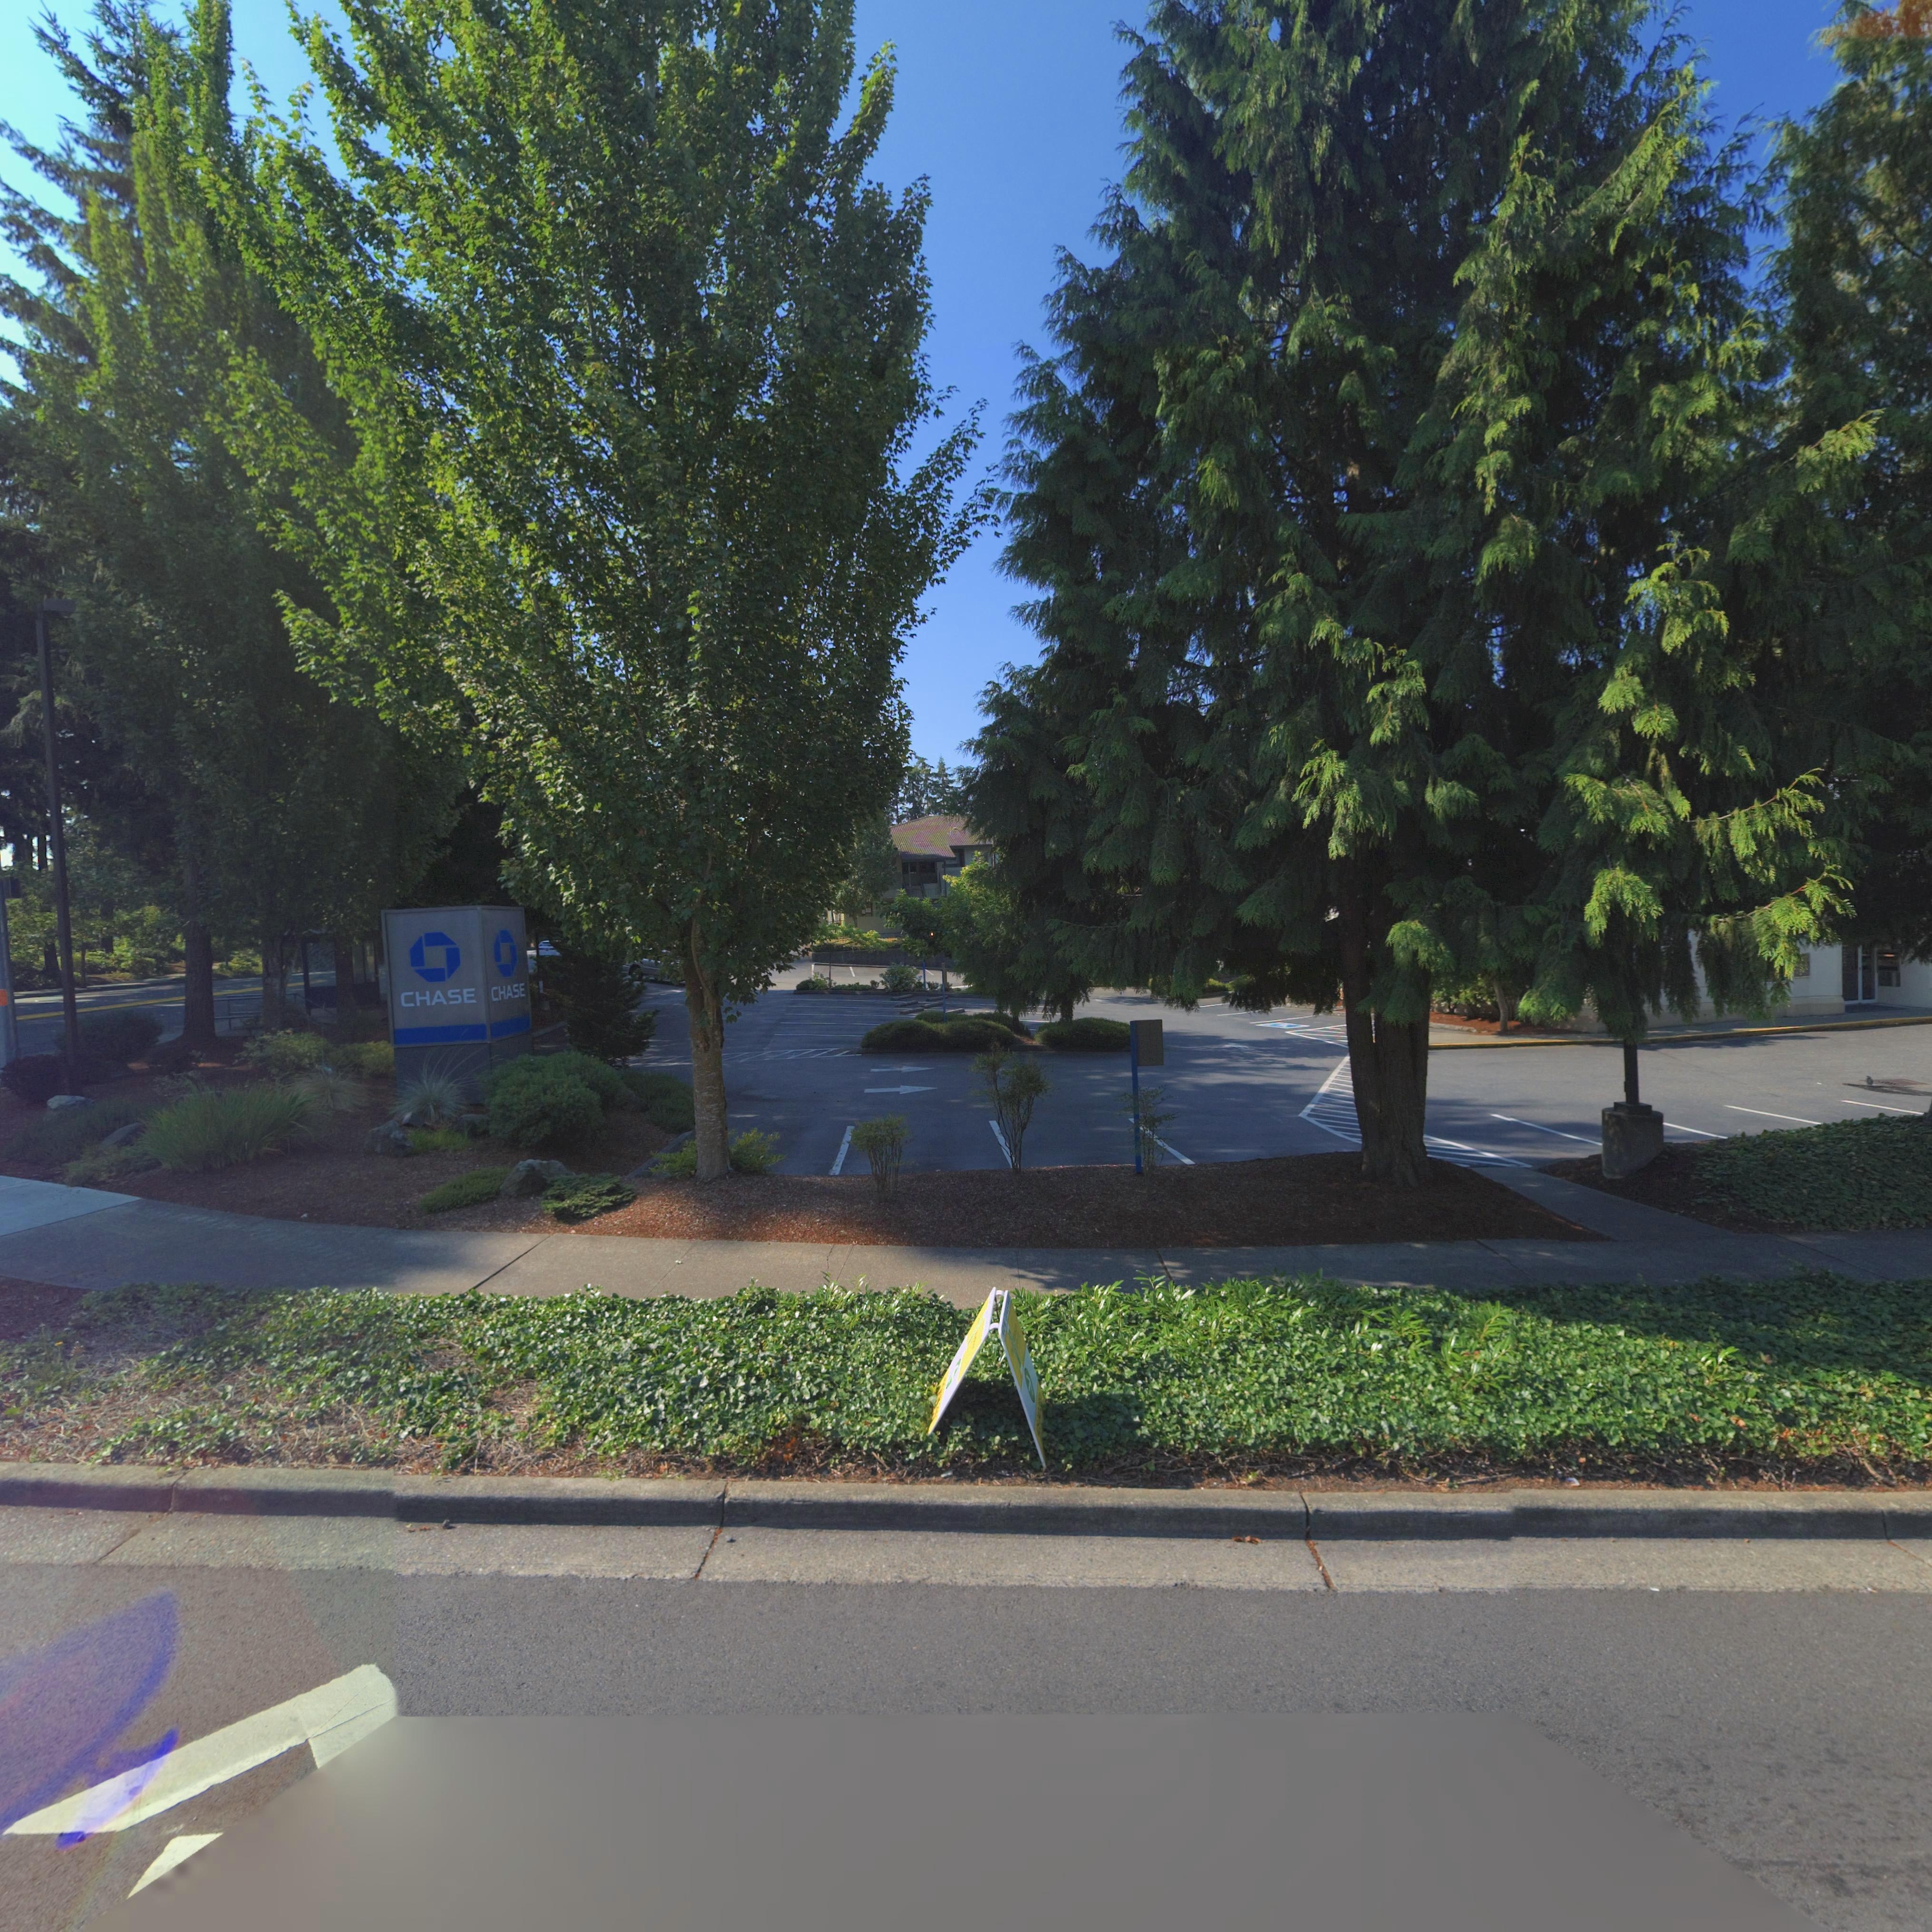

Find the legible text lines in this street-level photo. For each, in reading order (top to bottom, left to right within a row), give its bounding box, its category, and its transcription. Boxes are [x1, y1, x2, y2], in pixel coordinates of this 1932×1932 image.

[400, 988, 476, 1007] BusinessName: CHASE
[491, 982, 526, 1001] BusinessName: CHASE